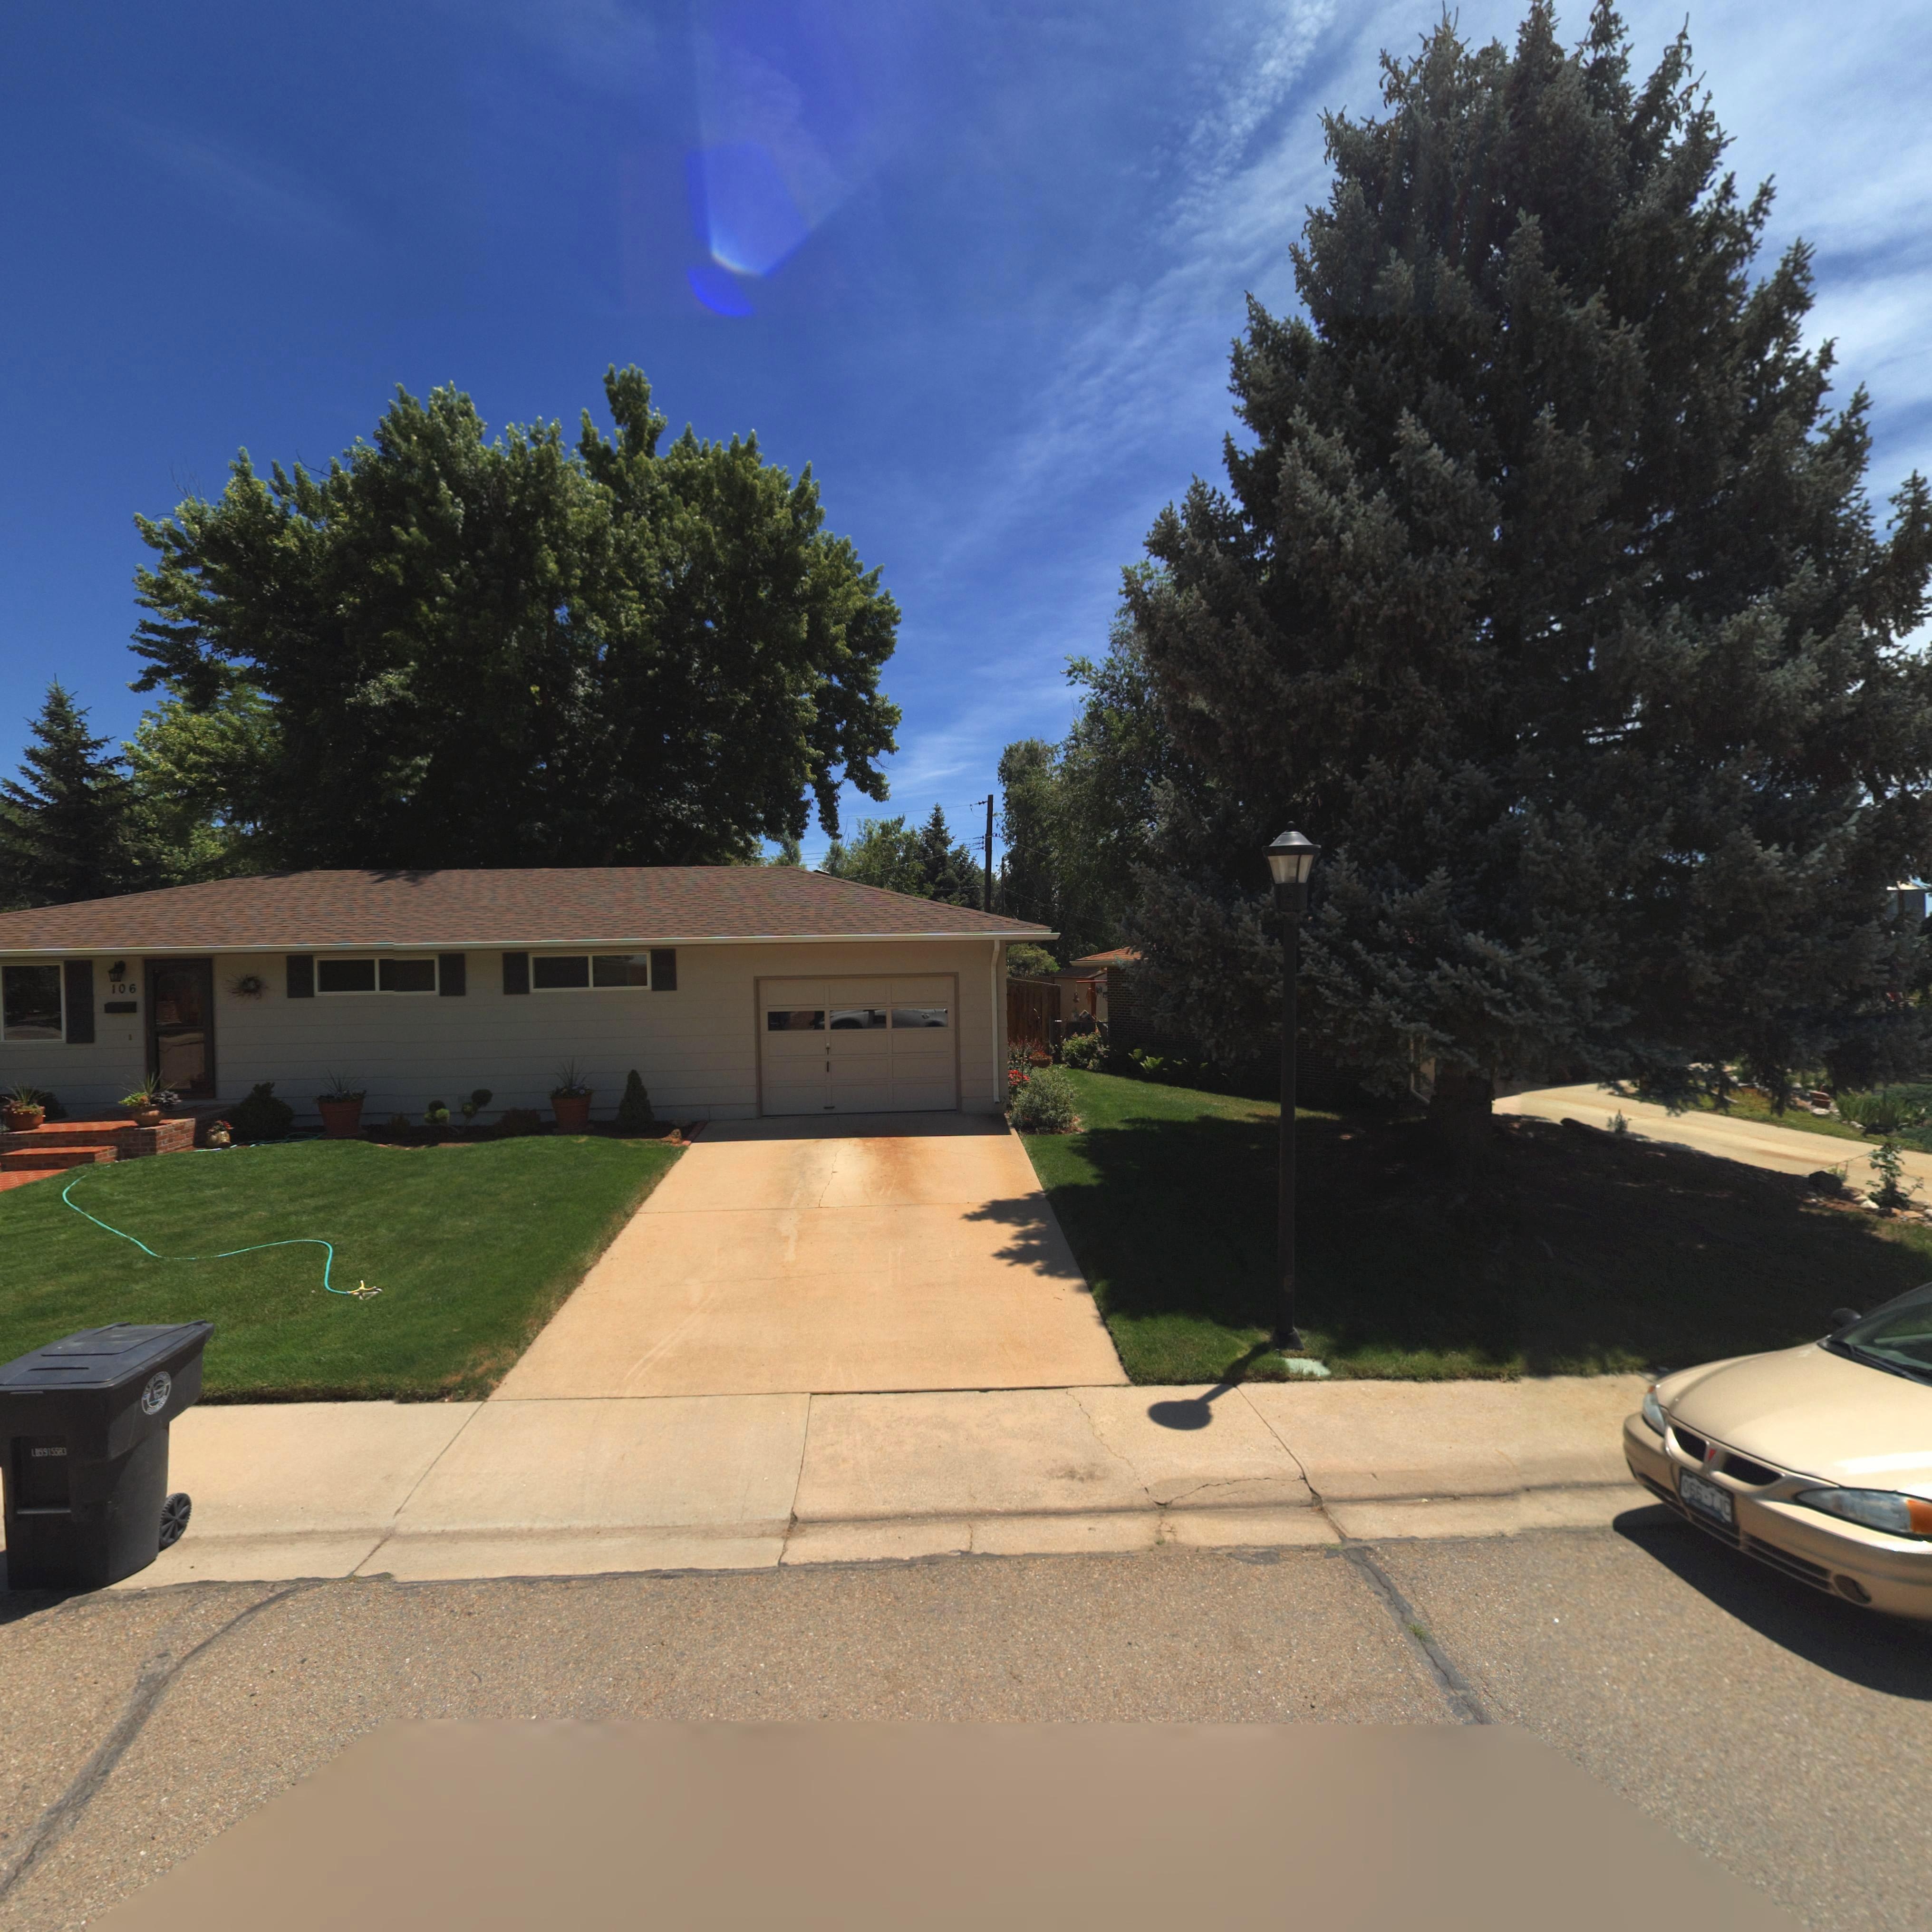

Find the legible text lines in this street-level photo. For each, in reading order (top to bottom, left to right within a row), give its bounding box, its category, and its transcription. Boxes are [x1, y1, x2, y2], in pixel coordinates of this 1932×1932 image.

[111, 984, 136, 994] StreetNumber: 106